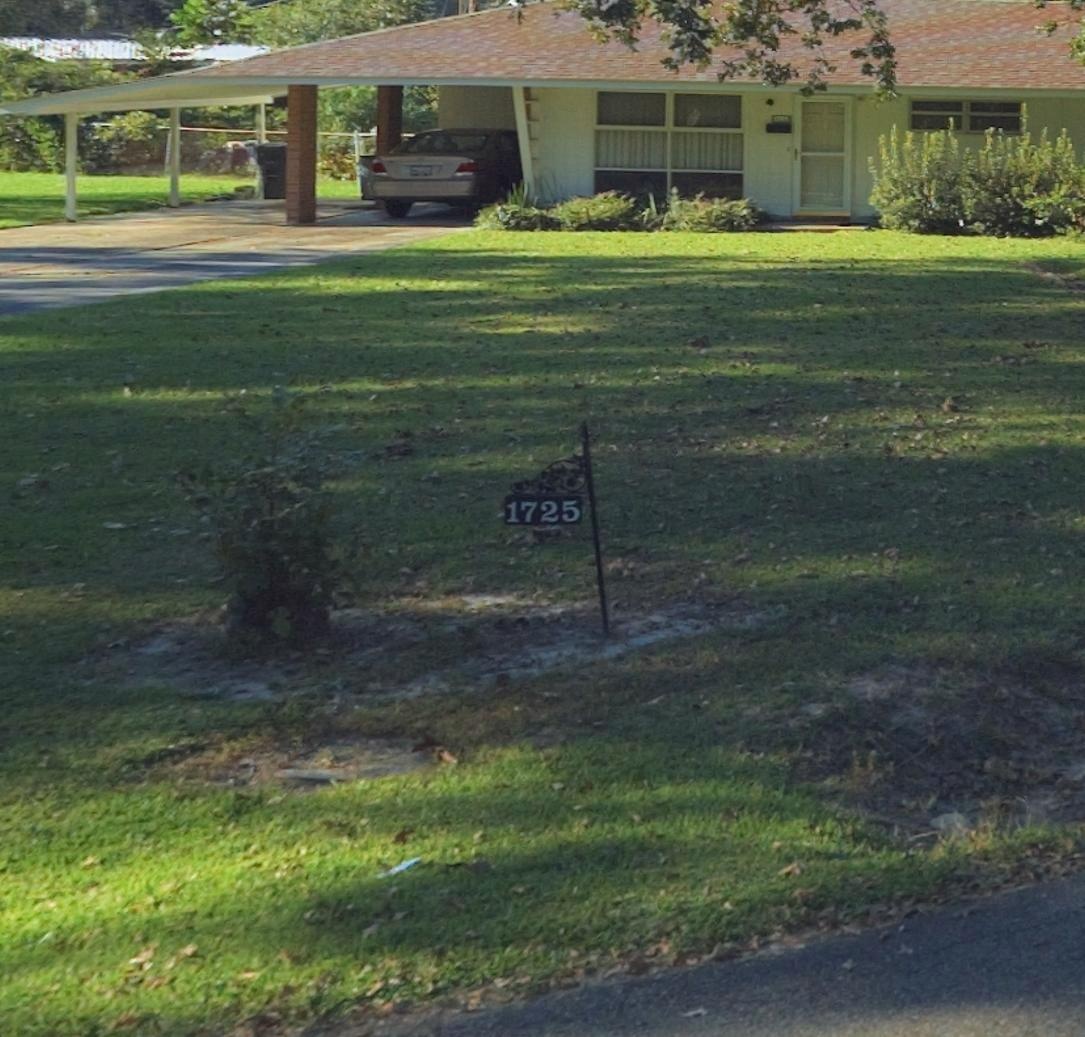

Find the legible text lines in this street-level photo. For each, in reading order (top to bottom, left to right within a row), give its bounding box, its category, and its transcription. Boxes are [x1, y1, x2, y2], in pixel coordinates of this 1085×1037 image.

[505, 499, 581, 523] StreetNumber: 1725